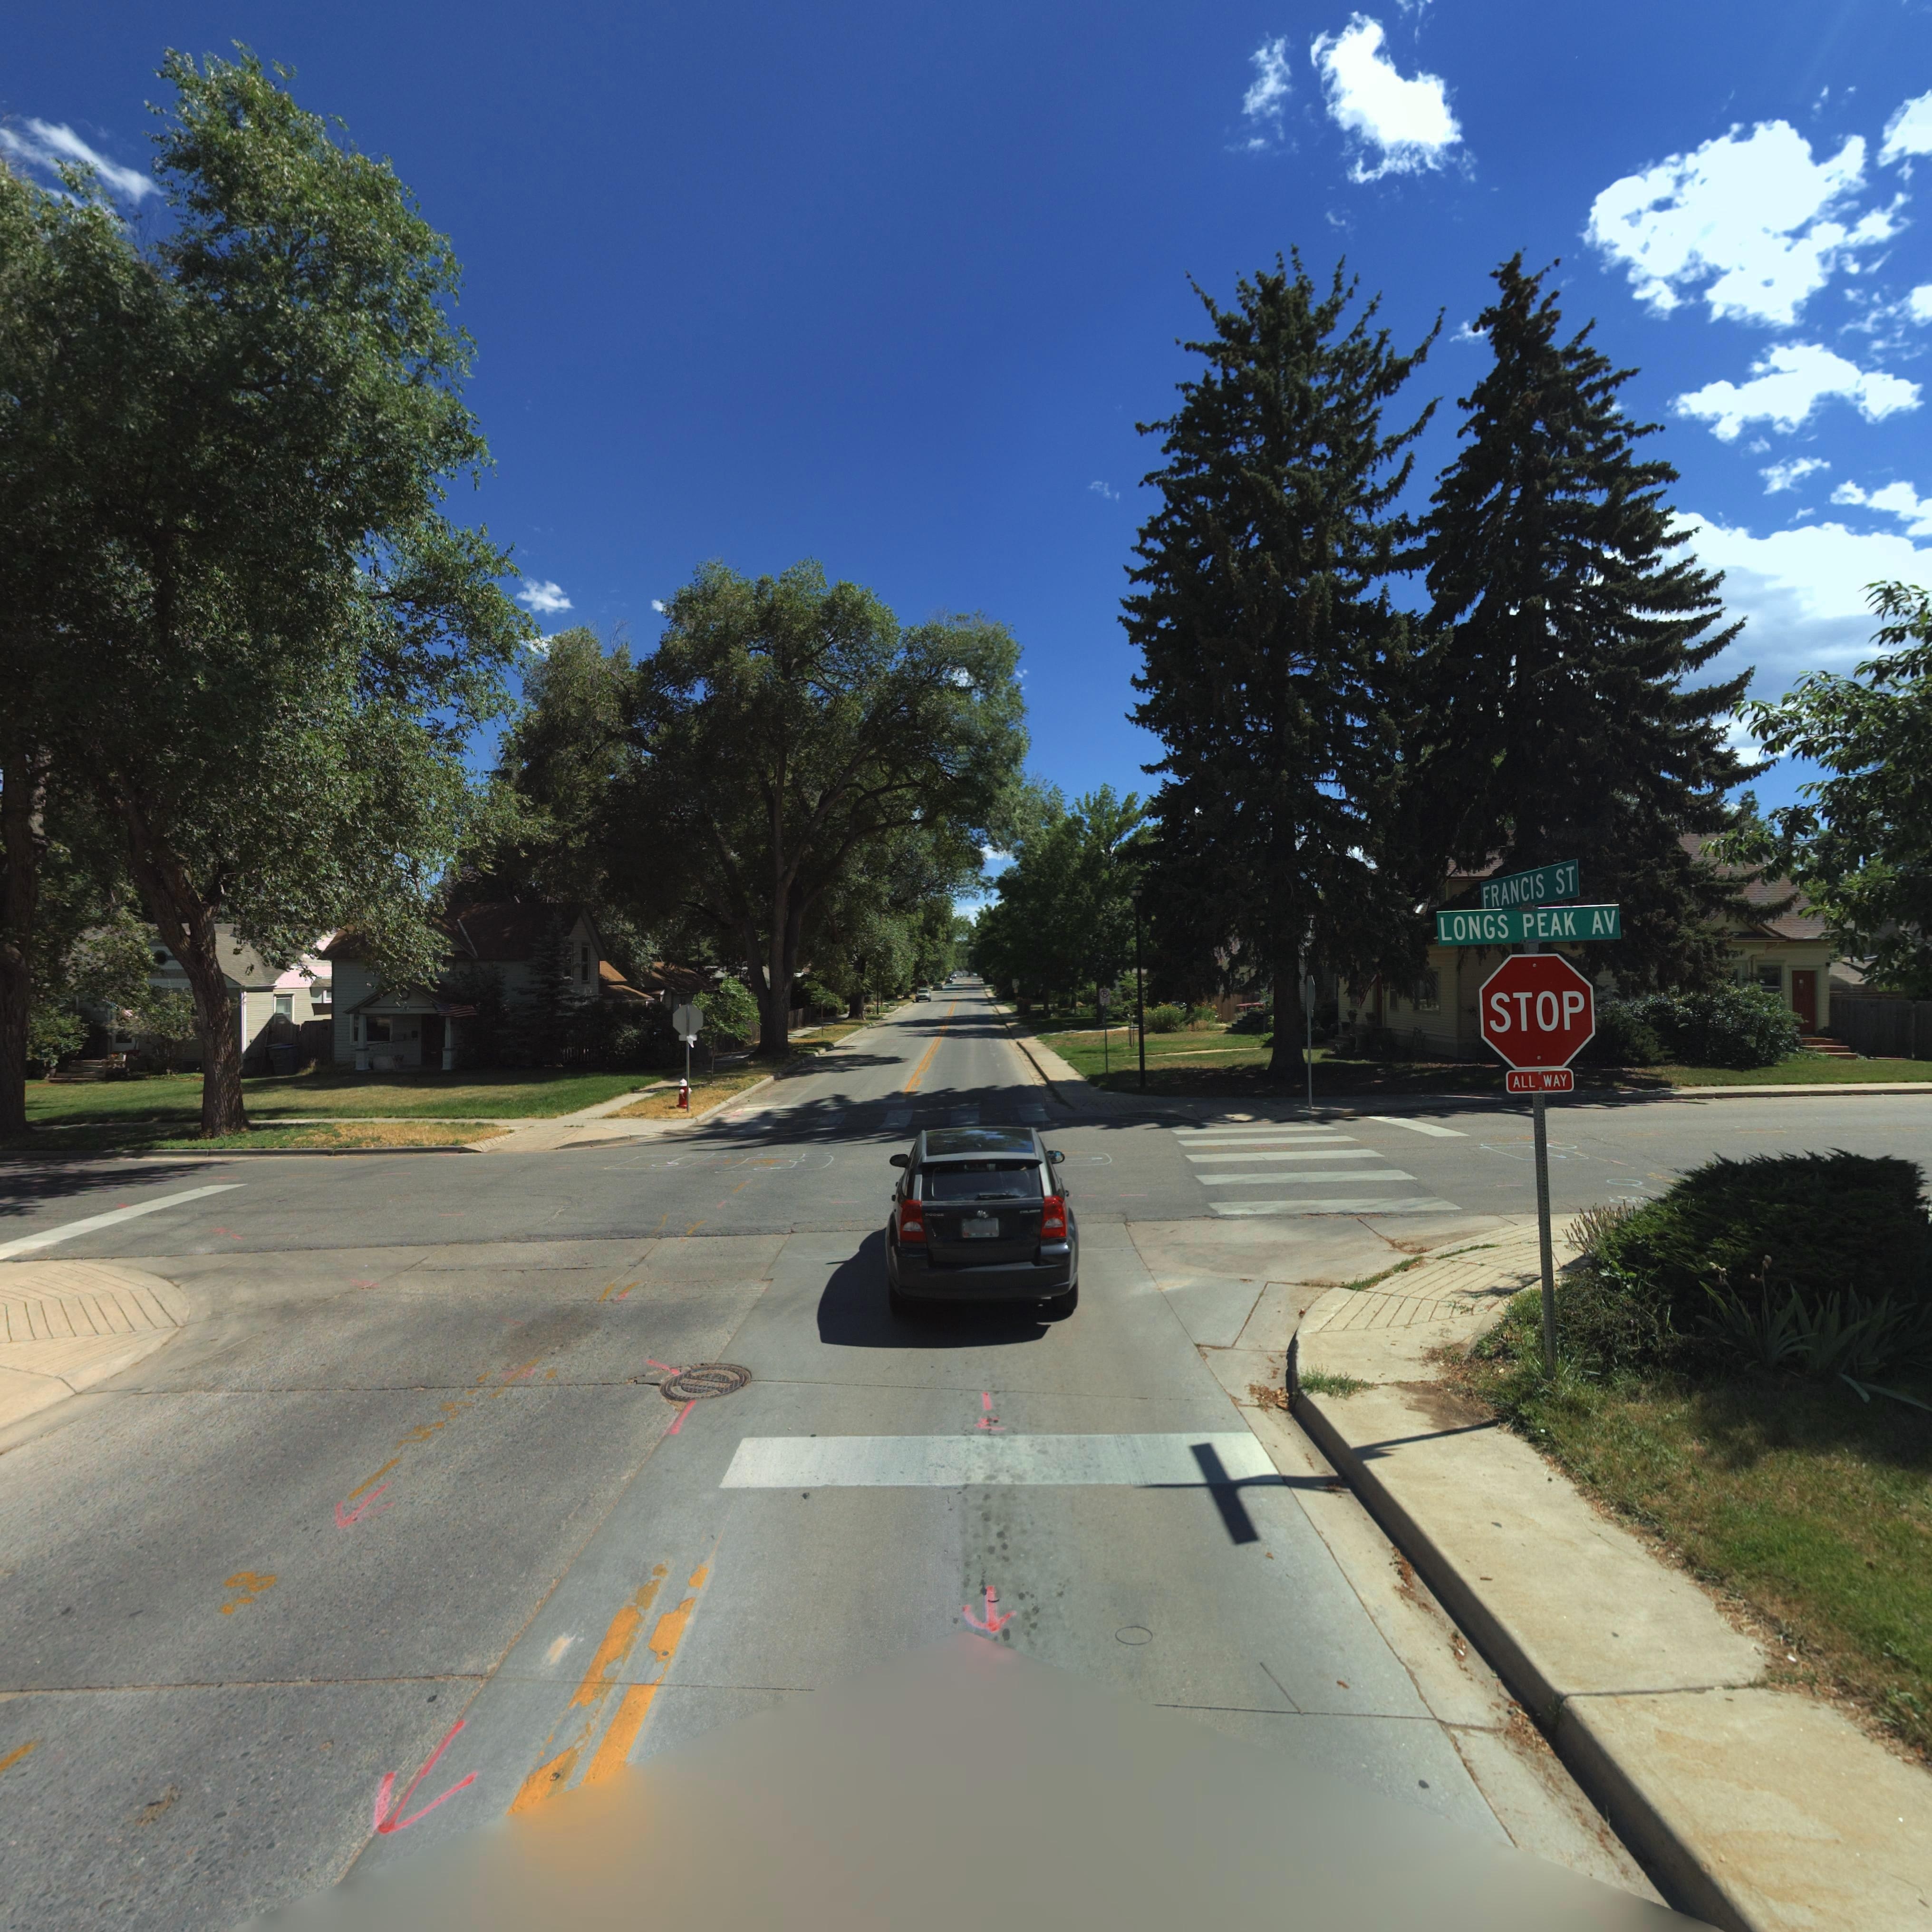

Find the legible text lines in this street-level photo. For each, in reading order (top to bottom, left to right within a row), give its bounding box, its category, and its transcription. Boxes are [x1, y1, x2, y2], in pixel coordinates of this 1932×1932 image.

[1482, 865, 1575, 909] StreetName: FRANCIS ST
[1439, 909, 1617, 941] StreetName: LONGS PEAK AV